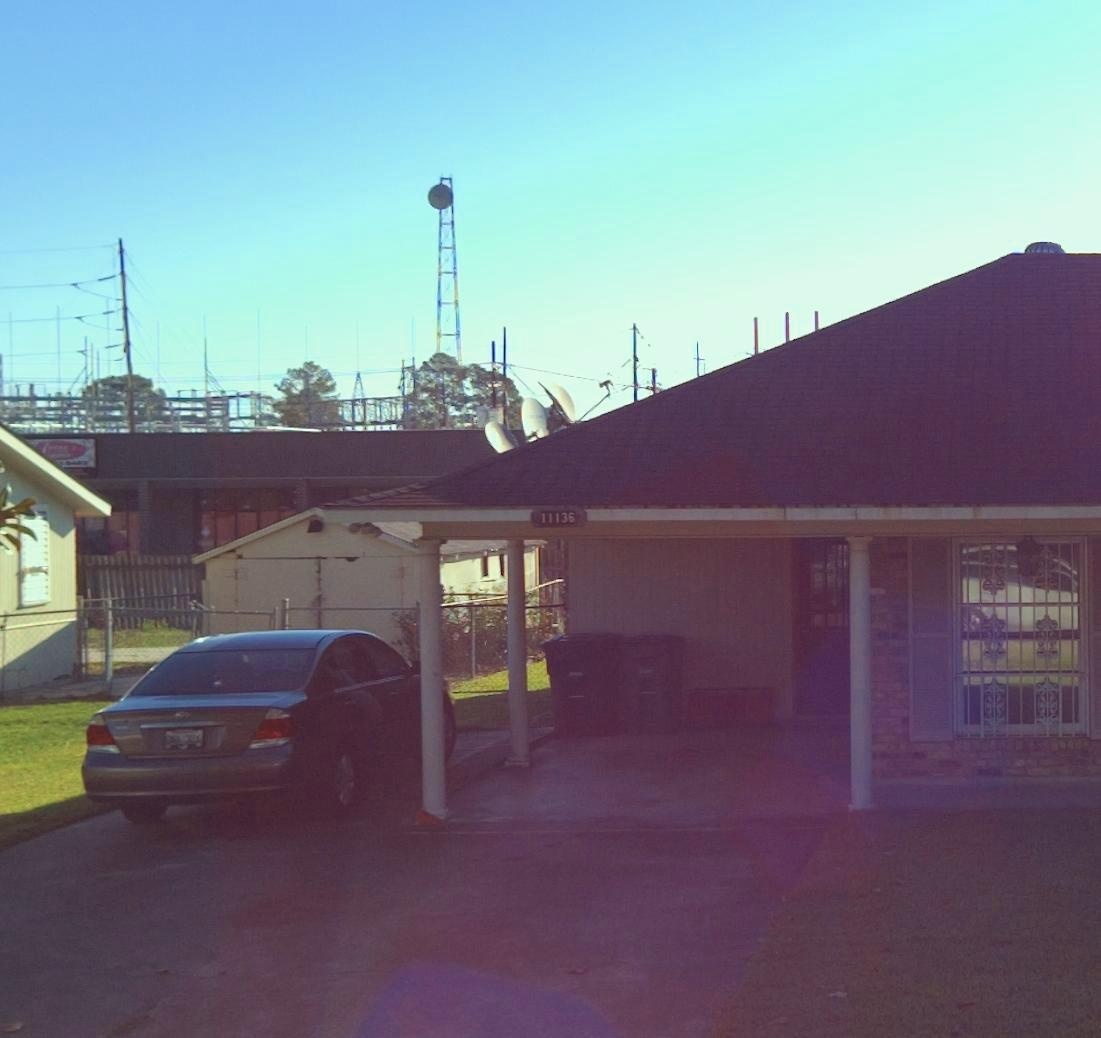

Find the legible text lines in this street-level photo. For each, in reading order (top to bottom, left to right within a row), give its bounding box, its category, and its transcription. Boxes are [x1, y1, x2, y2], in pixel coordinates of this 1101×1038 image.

[539, 511, 577, 525] StreetNumber: 11136